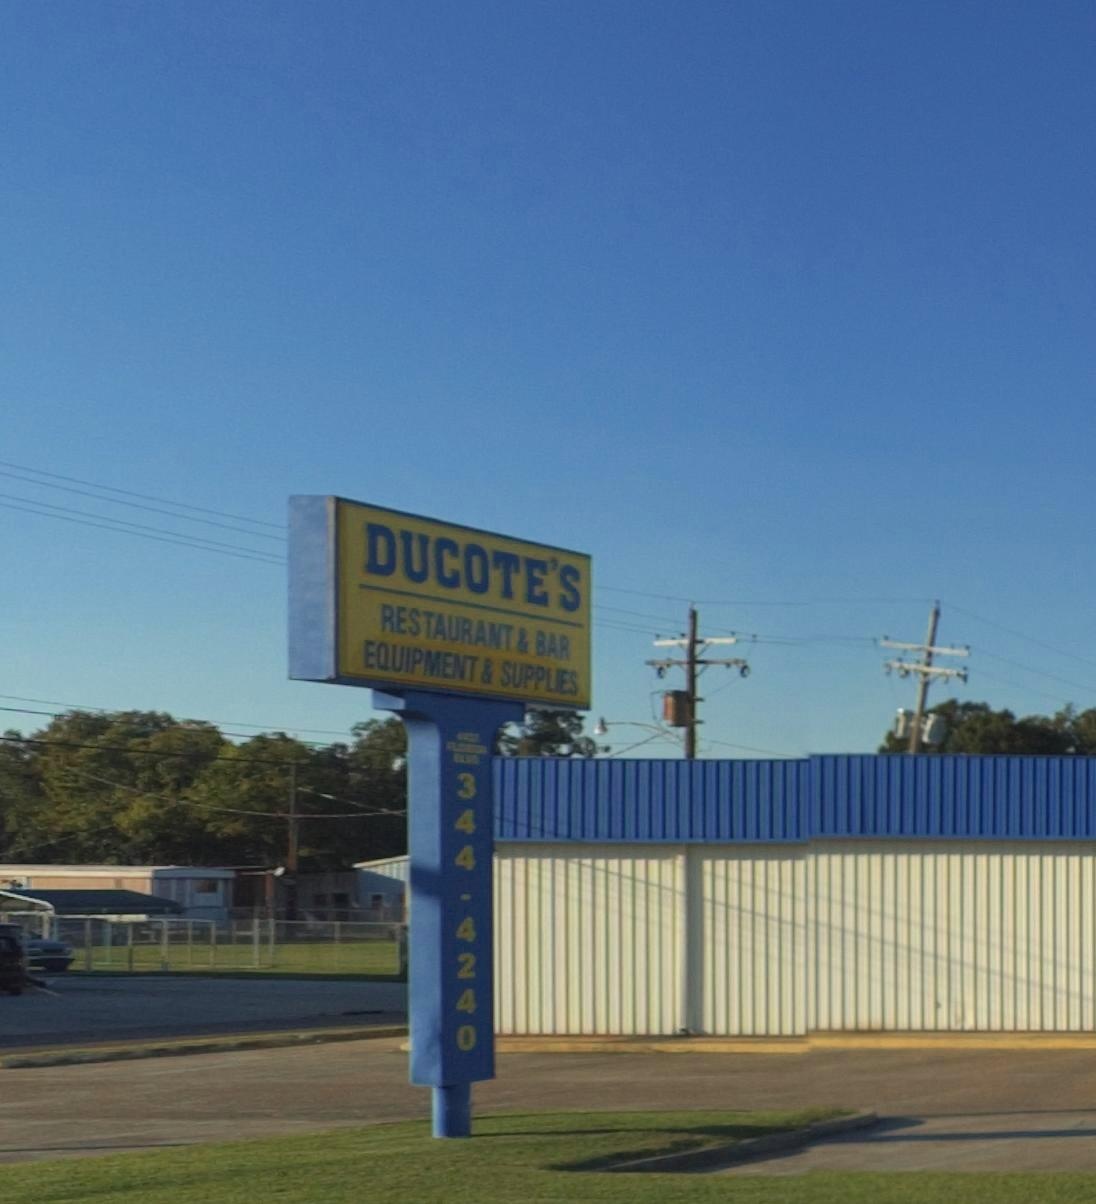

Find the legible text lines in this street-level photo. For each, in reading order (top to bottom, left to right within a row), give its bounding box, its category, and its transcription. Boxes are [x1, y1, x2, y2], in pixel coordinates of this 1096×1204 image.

[362, 518, 585, 618] BusinessName: DUCOTE'S
[361, 636, 580, 700] BusinessName: EQUIPMENT & SUPPLIEWS
[379, 598, 571, 665] BusinessName: RESTAURANT & BAR
[452, 771, 478, 1055] None: 344-4240